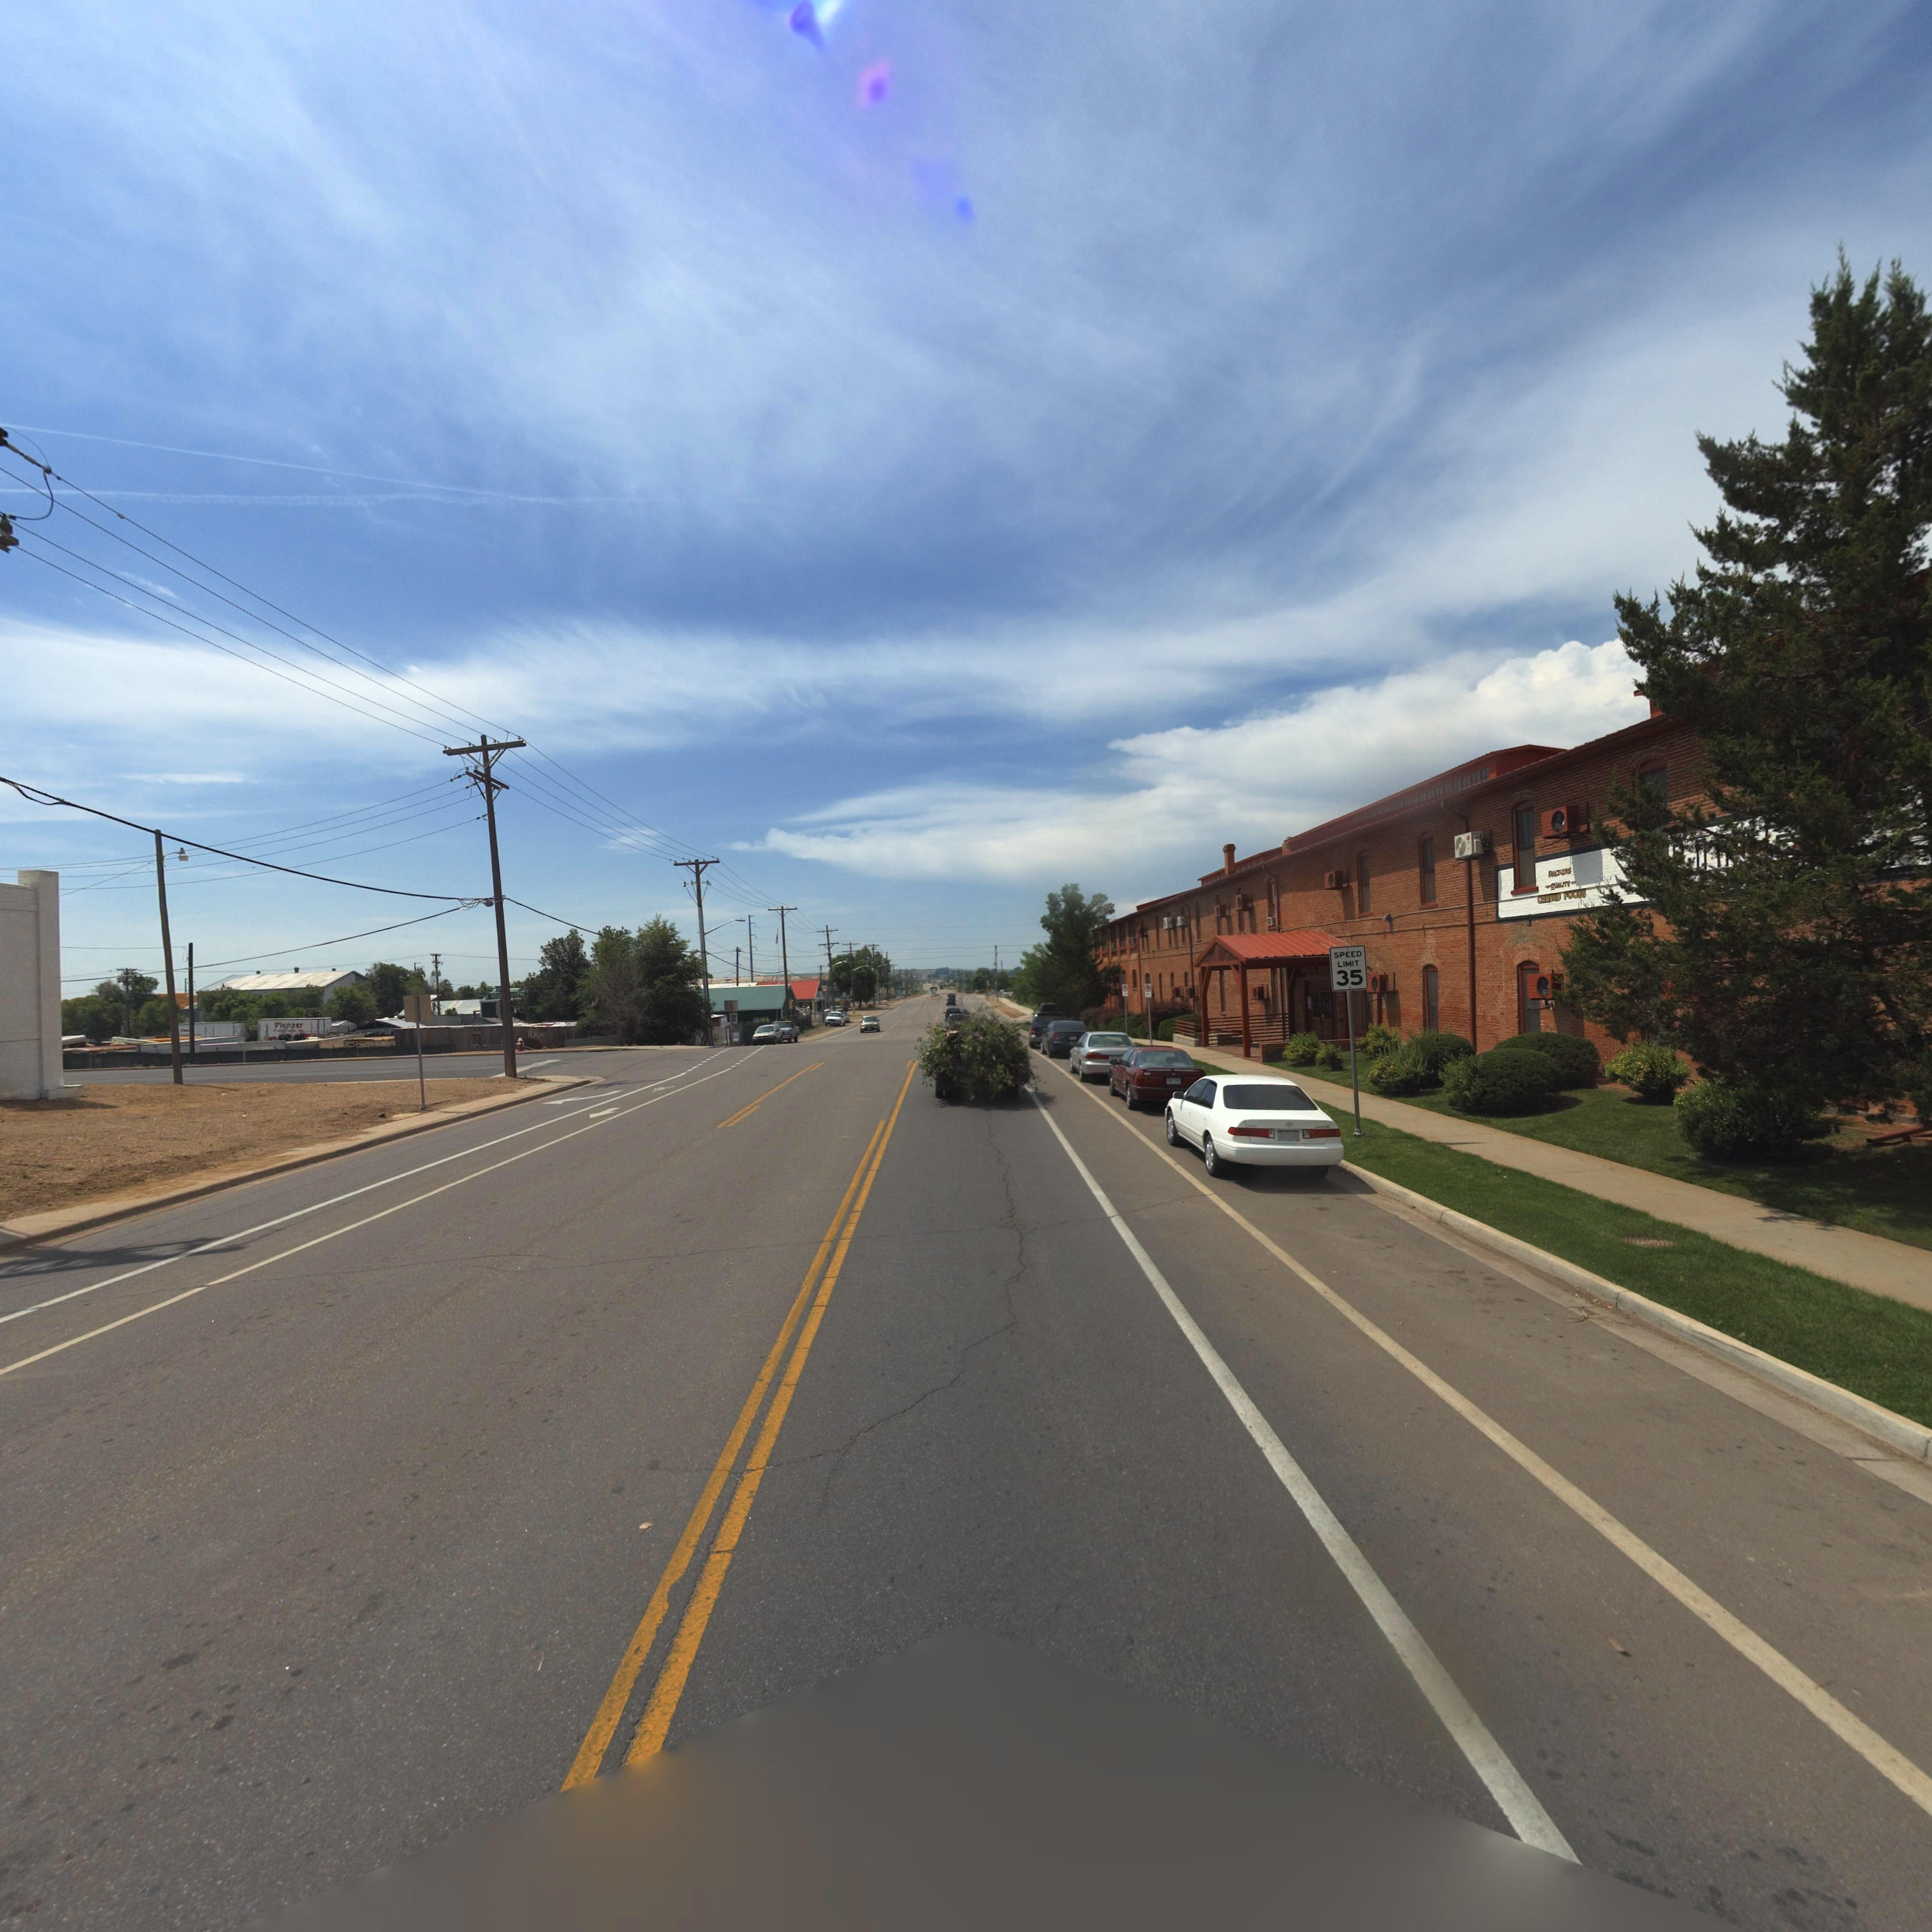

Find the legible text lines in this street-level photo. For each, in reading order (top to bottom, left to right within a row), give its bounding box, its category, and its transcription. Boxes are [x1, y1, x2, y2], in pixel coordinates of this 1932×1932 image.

[485, 992, 517, 999] StreetName: E HOS**** *D